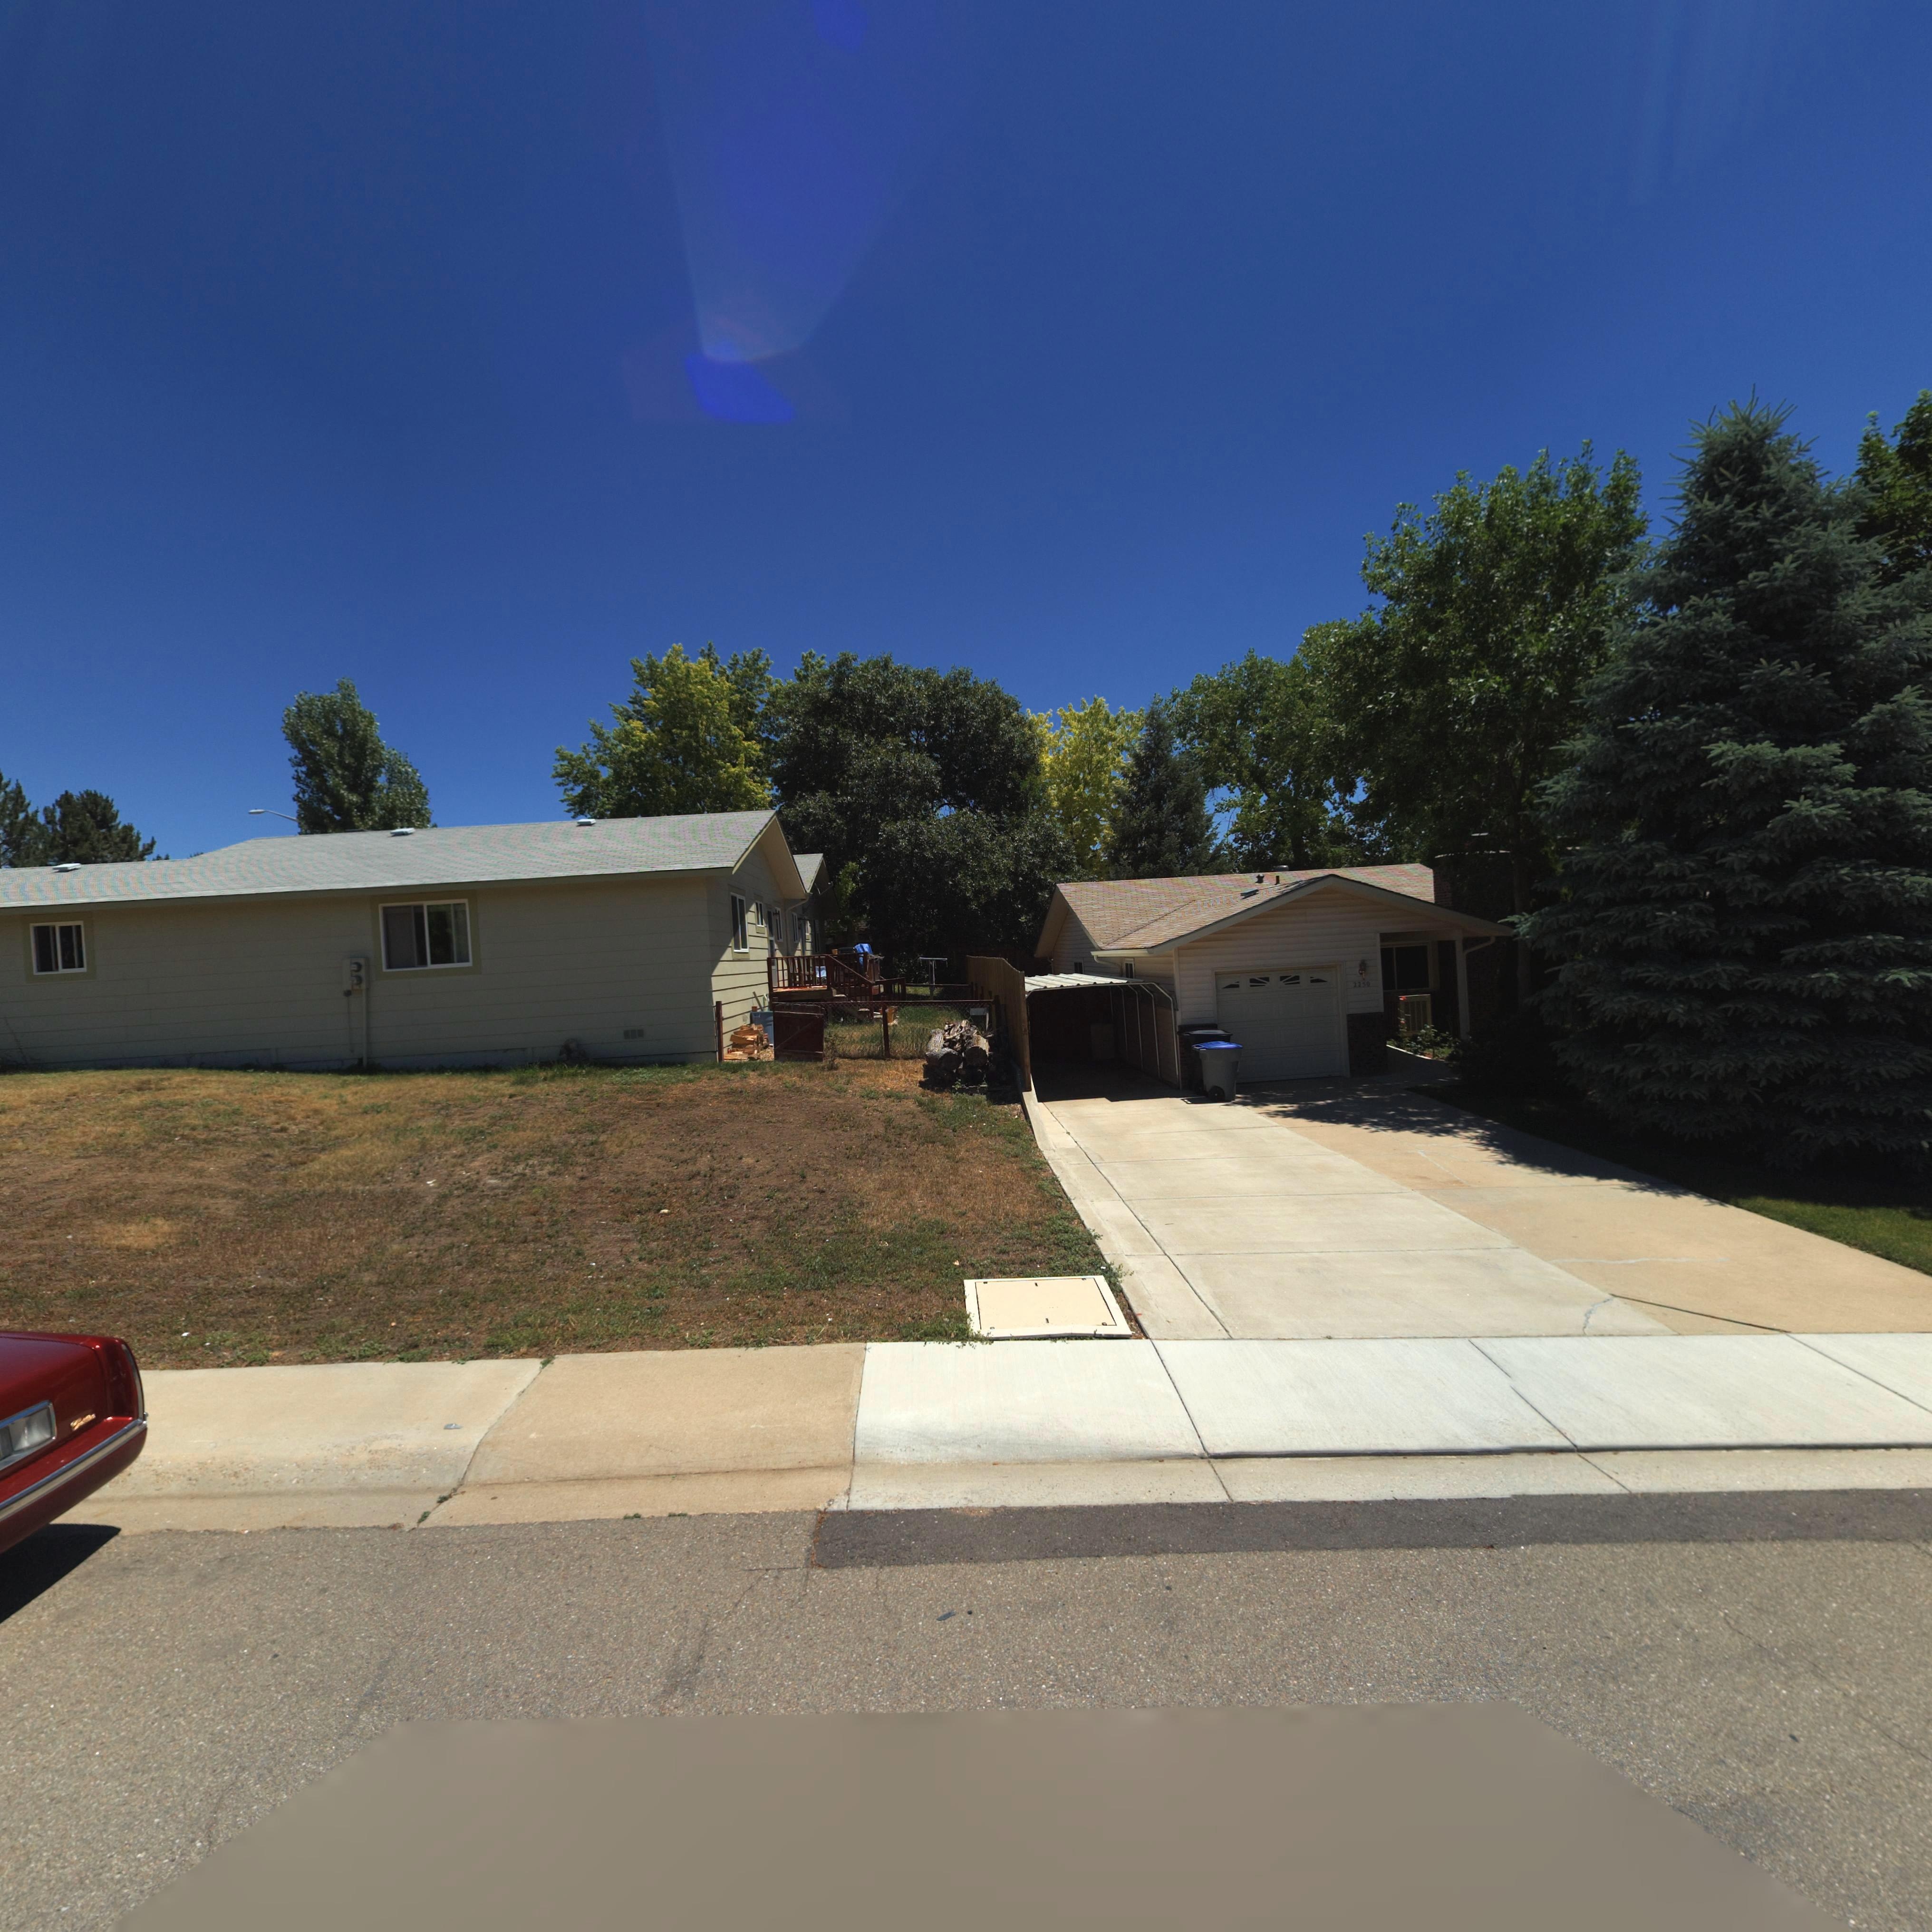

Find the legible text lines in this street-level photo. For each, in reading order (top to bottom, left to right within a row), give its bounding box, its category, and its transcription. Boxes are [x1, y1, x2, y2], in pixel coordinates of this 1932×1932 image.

[1352, 981, 1371, 987] StreetNumber: 2250